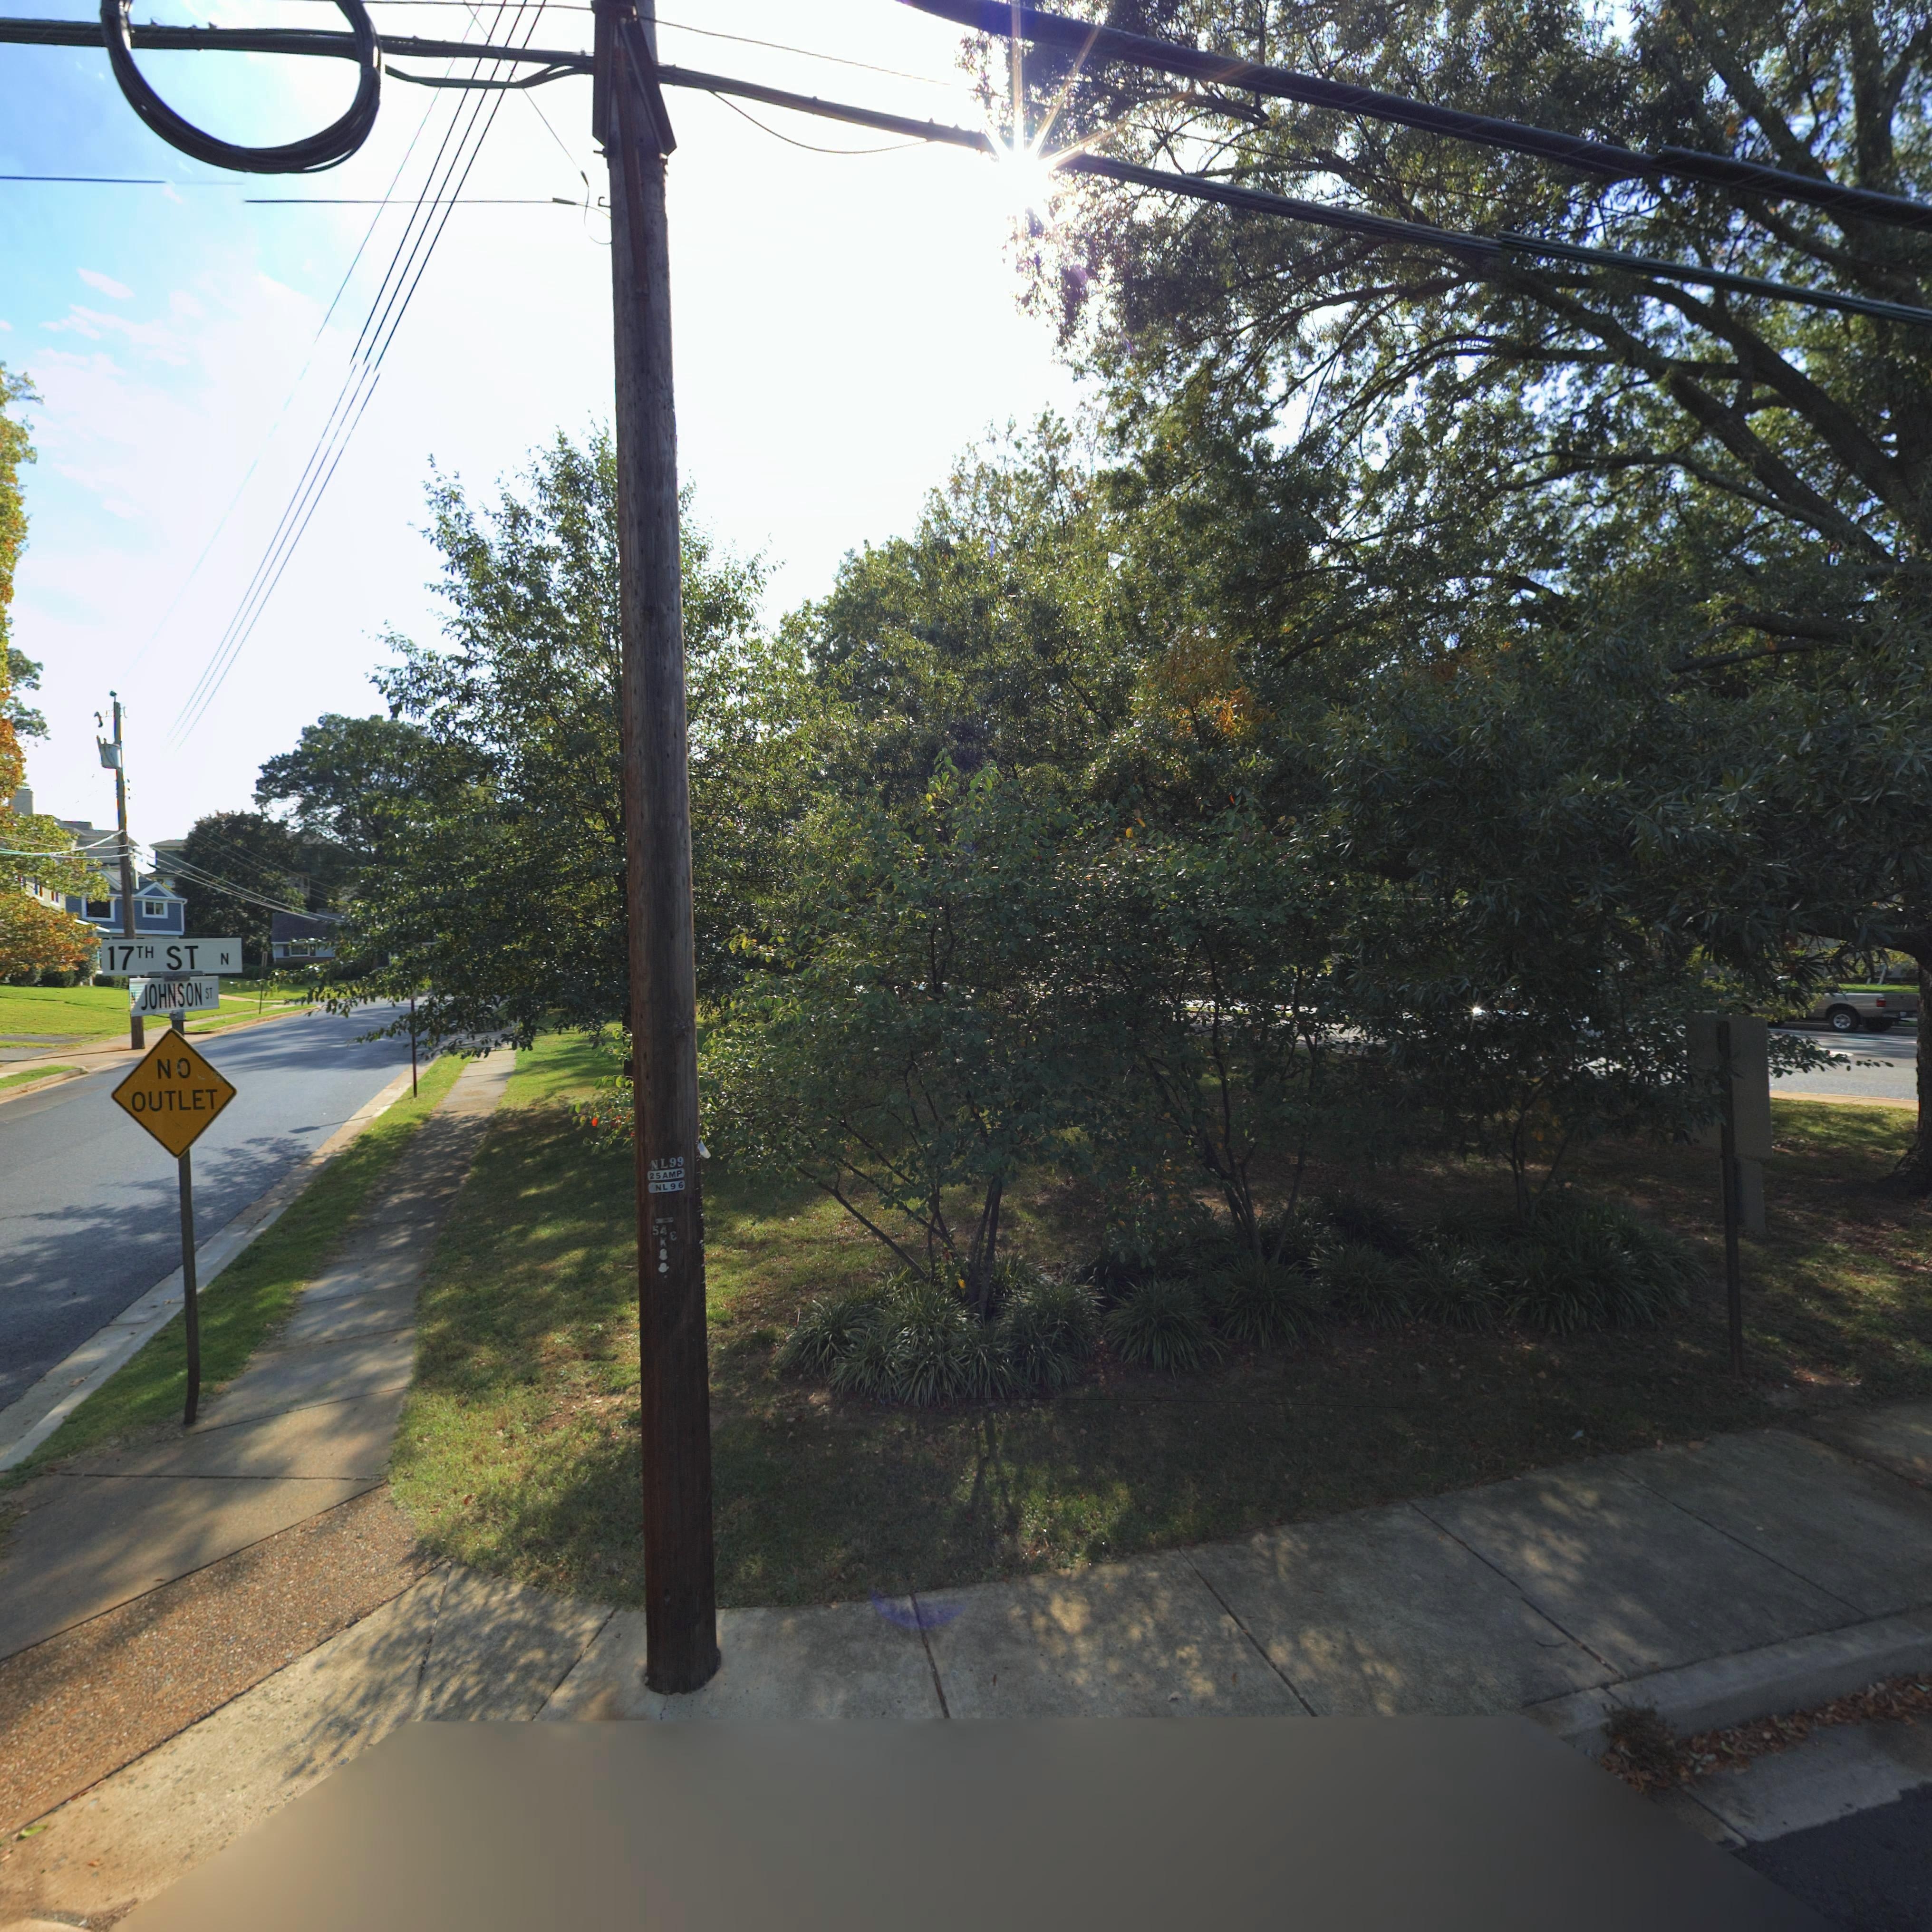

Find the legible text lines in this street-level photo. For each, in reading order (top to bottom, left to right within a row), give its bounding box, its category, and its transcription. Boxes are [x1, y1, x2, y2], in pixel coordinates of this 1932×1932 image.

[106, 943, 231, 973] StreetName: 17TH ST N
[129, 980, 215, 1014] StreetName: N JOHNSON ST
[155, 1056, 193, 1081] None: NO
[129, 1087, 220, 1114] None: OUTLET
[649, 1154, 686, 1172] None: NL99
[648, 1169, 684, 1181] None: 25 AMP
[655, 1180, 685, 1192] None: NL 96
[658, 1235, 669, 1249] None: K
[650, 1223, 678, 1243] None: 54*